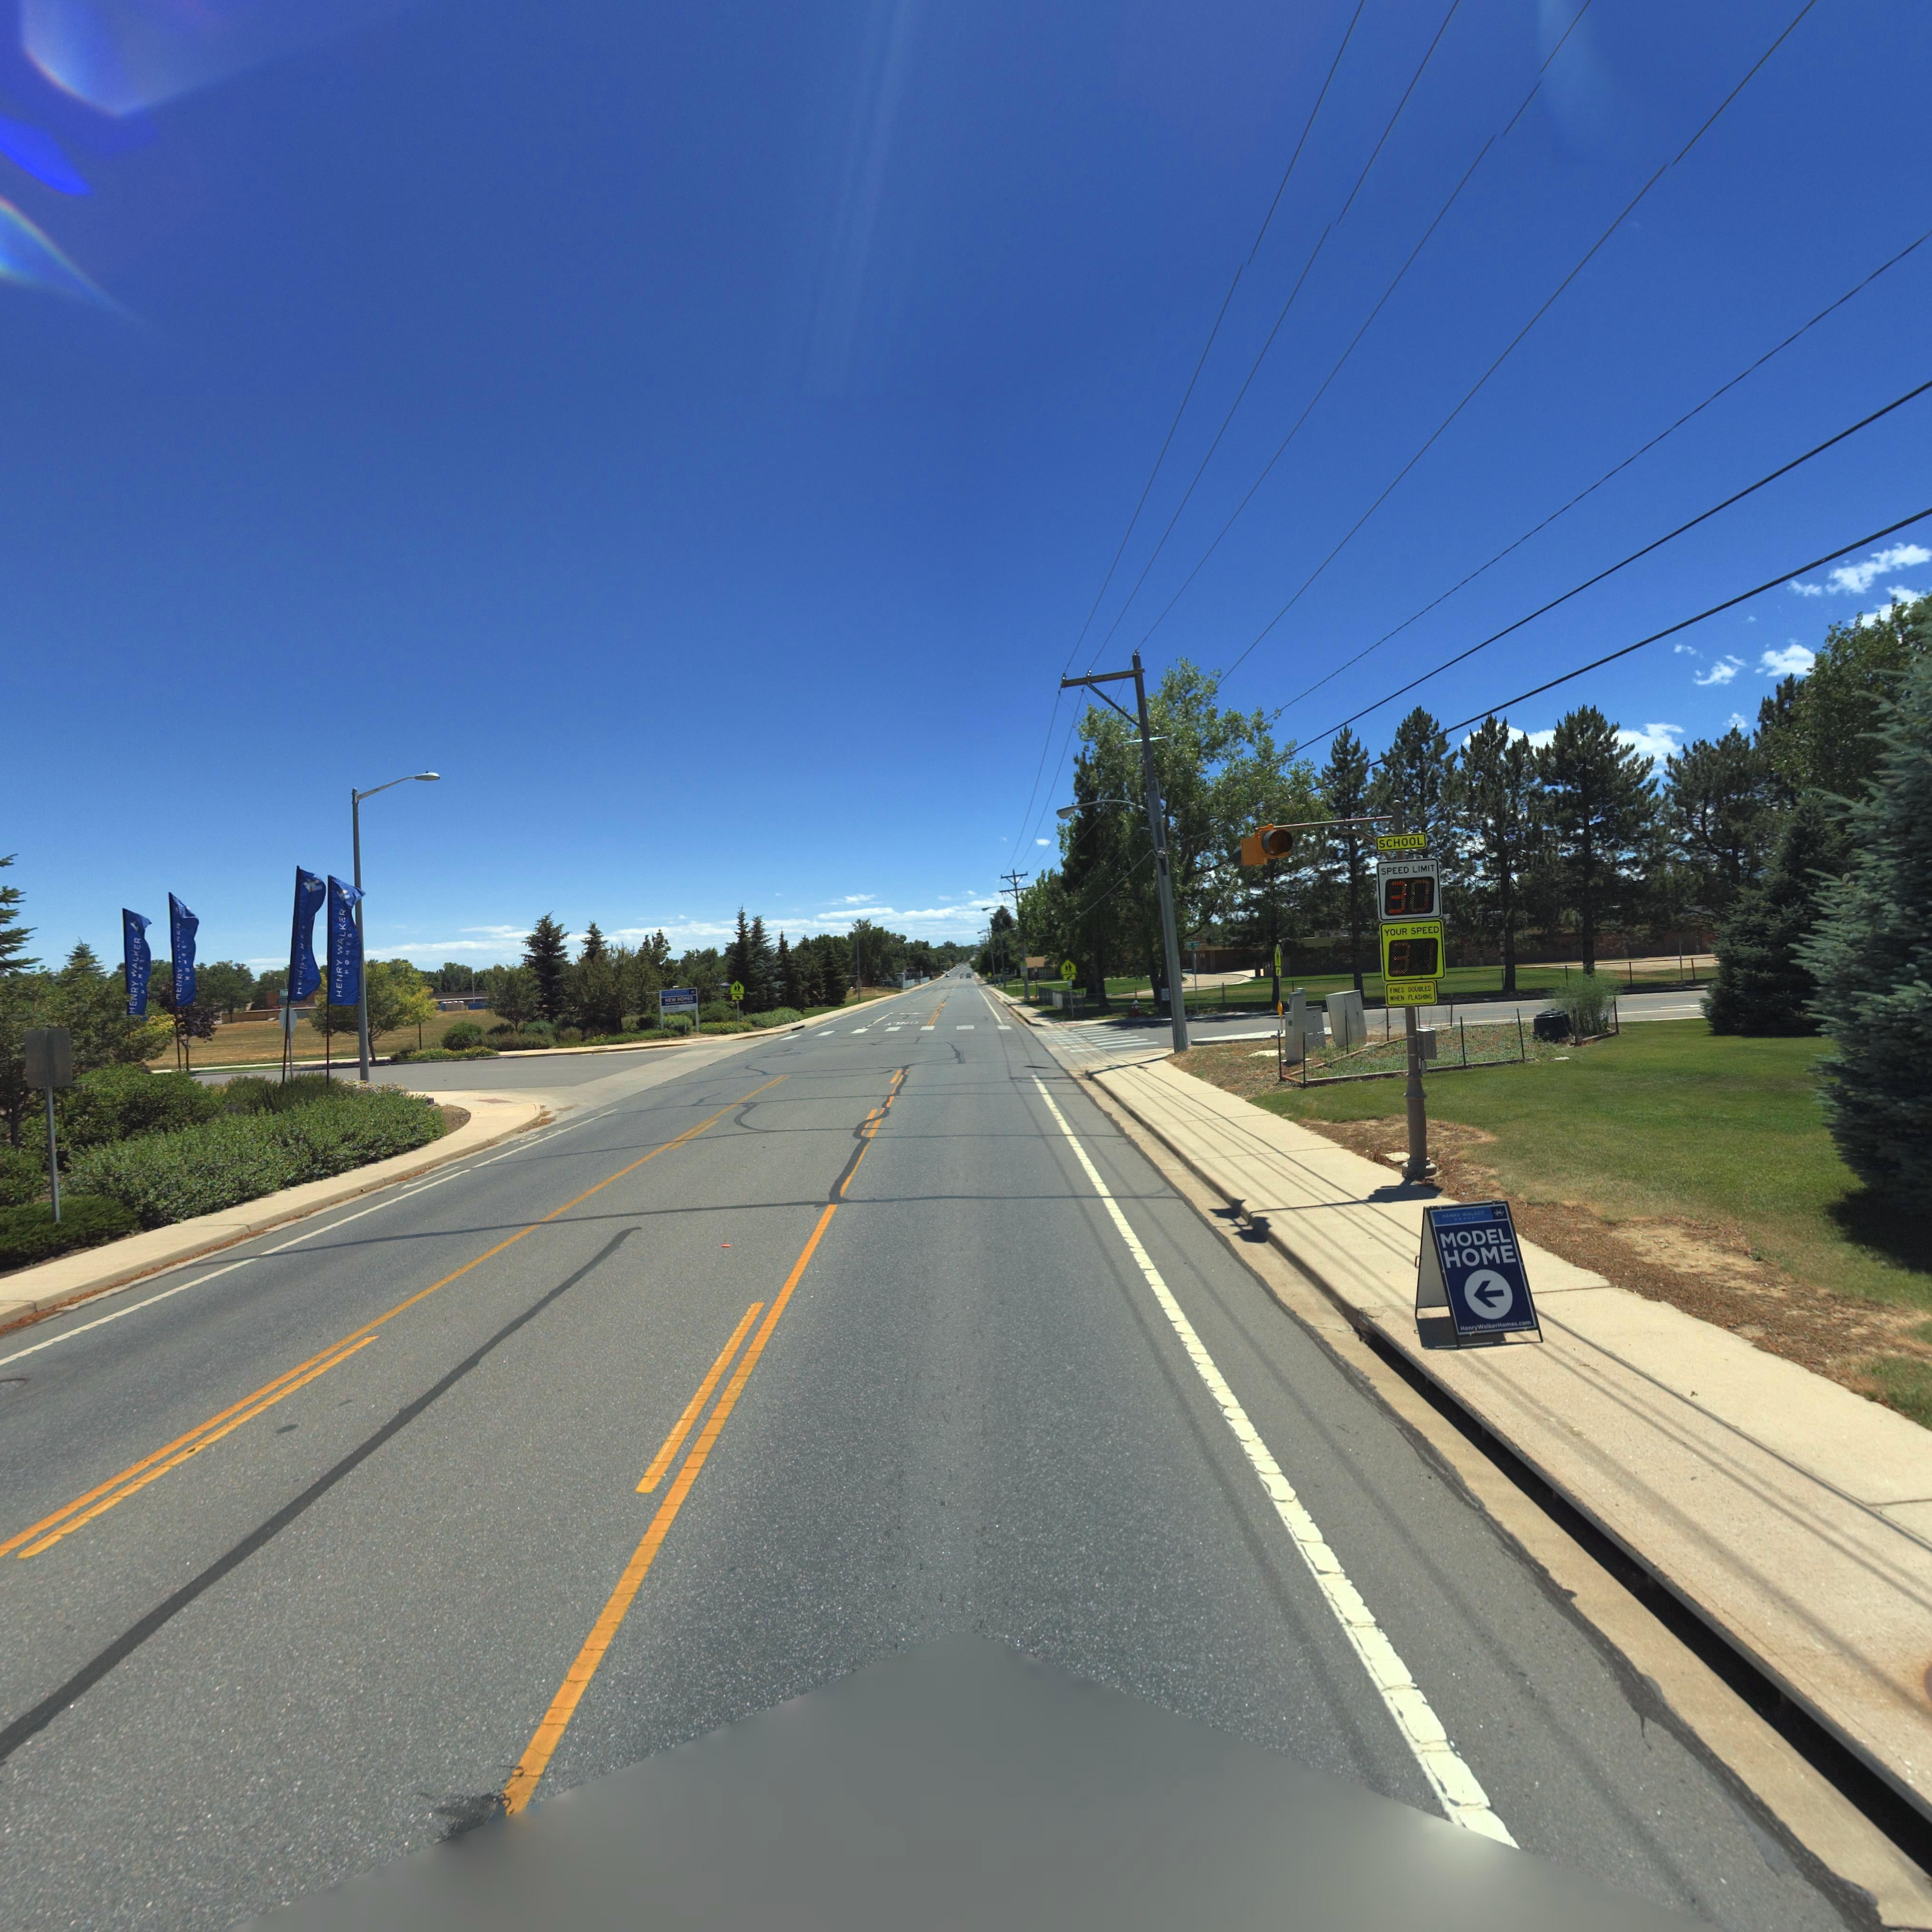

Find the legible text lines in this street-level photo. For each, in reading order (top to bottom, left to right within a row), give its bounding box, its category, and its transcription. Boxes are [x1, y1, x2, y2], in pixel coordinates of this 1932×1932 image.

[280, 990, 288, 996] StreetName: F***
[278, 998, 287, 1004] StreetName: 15th